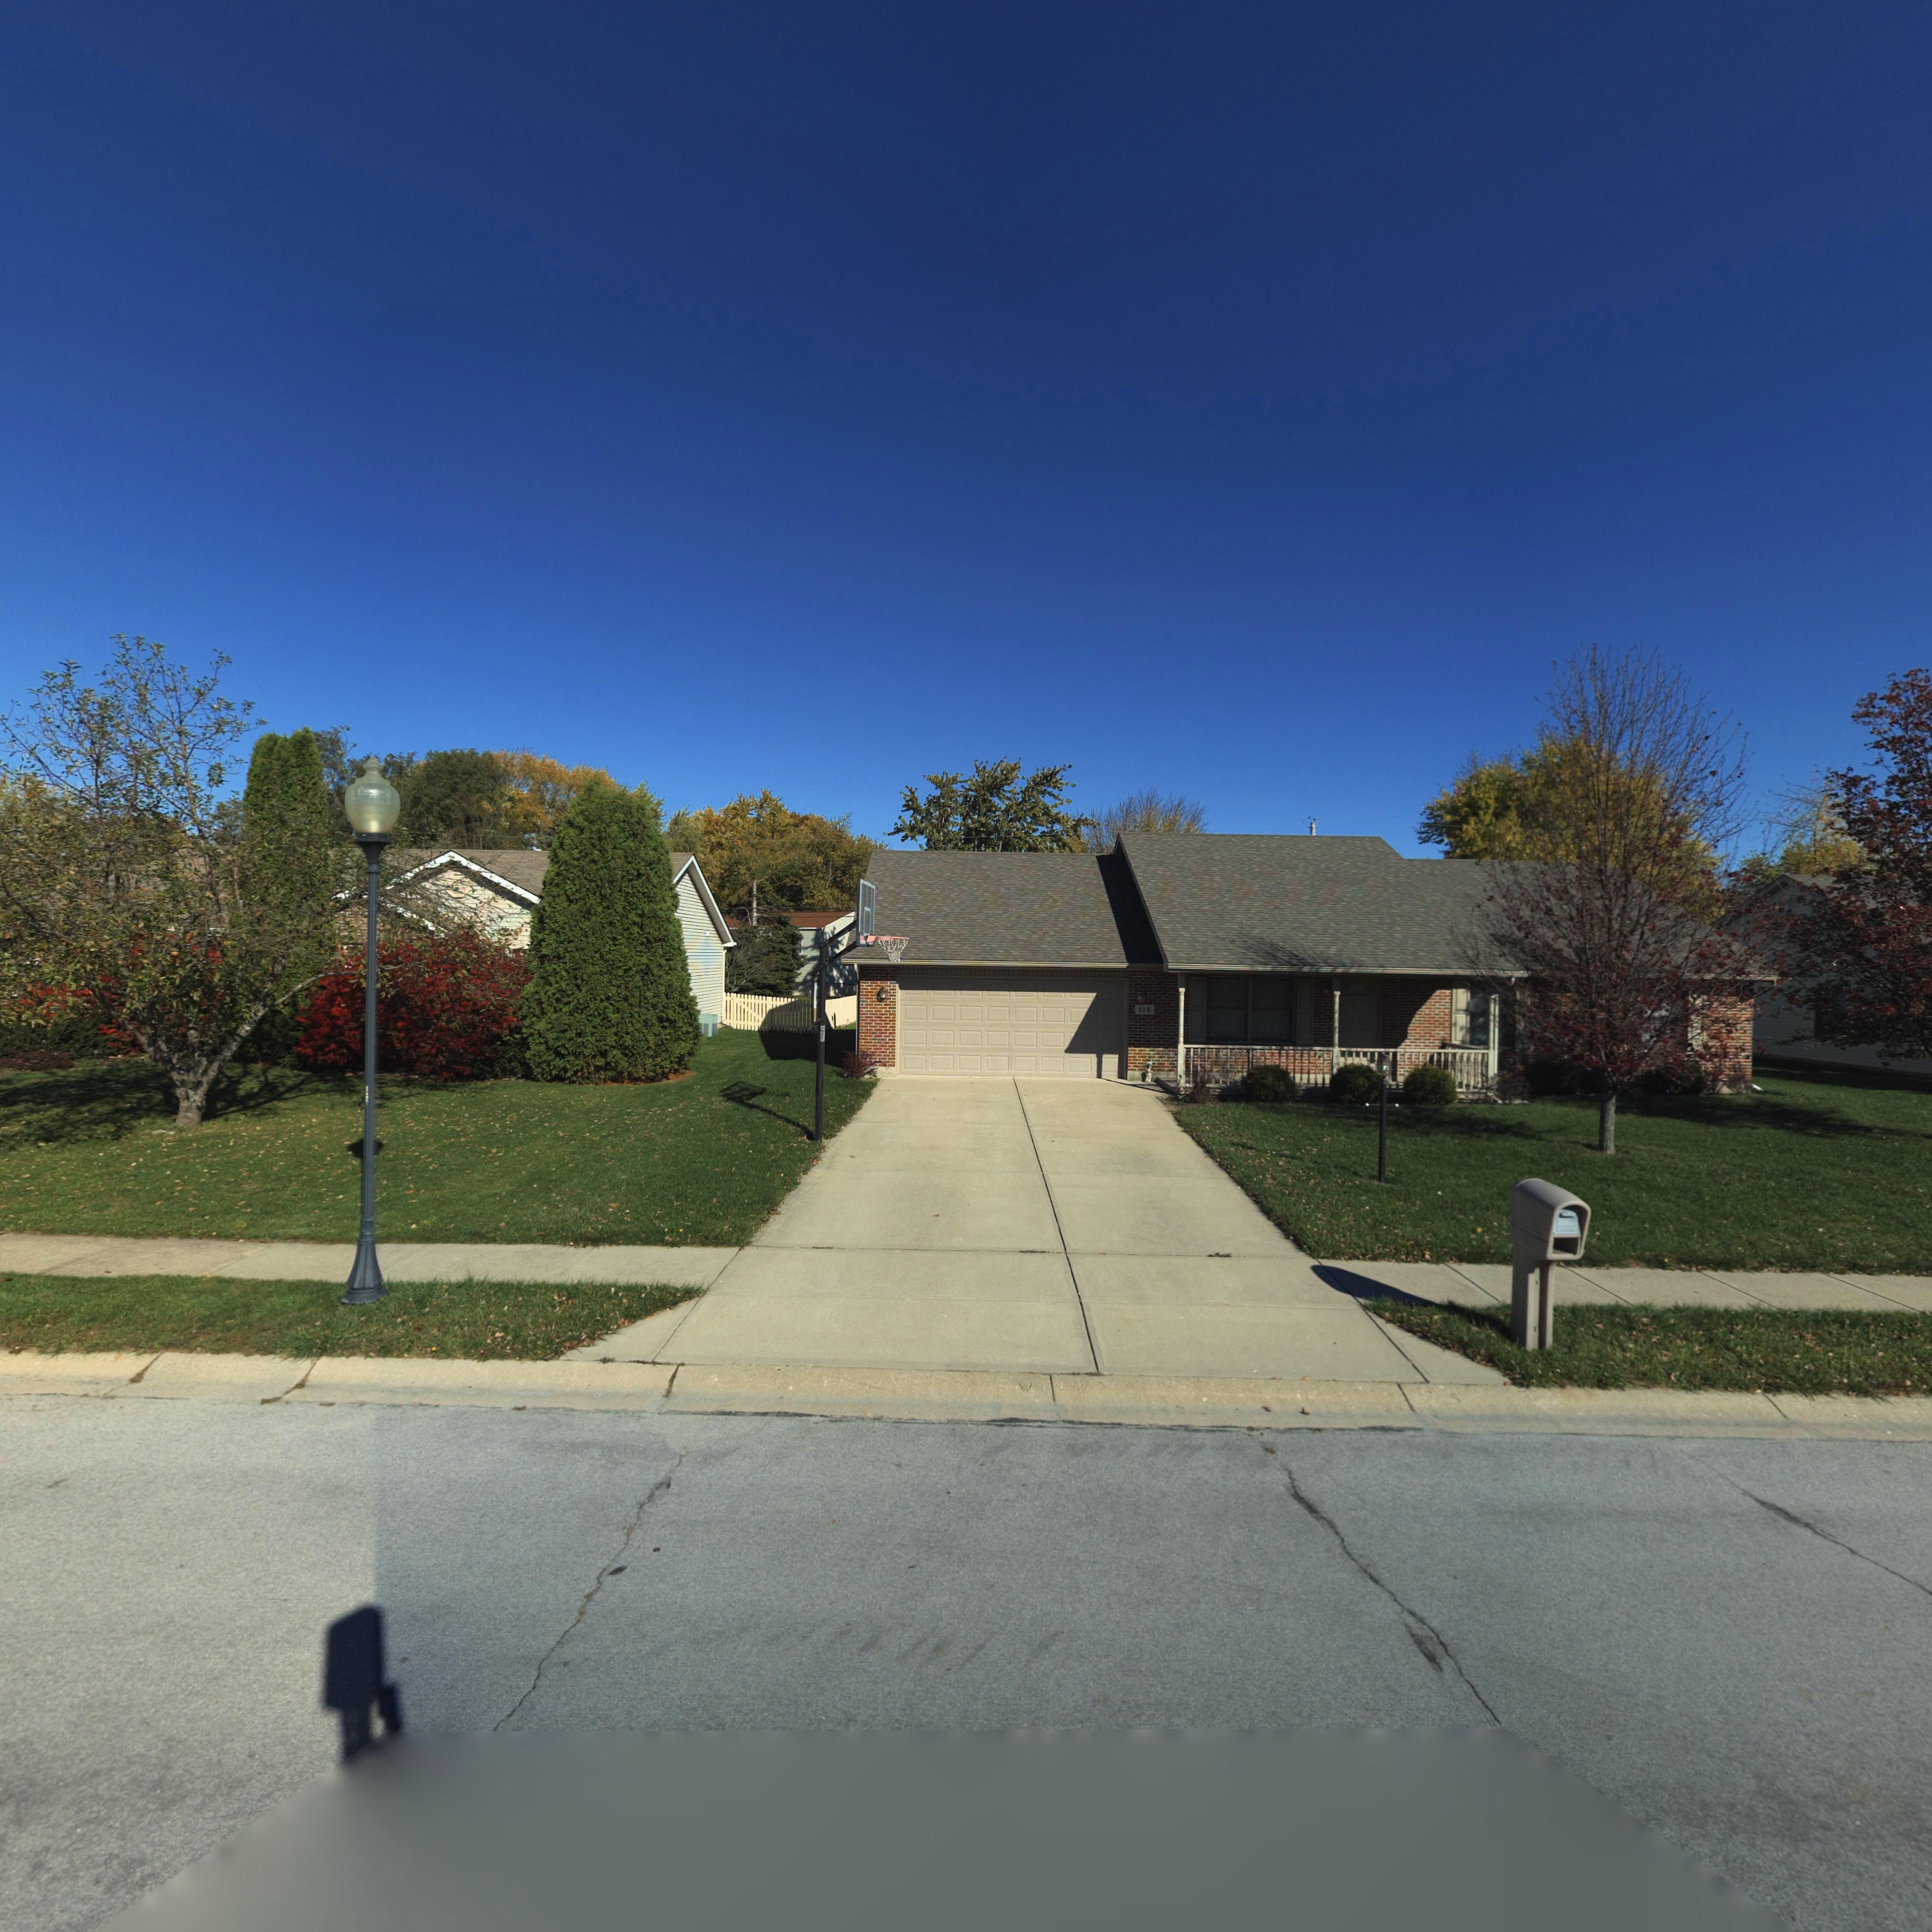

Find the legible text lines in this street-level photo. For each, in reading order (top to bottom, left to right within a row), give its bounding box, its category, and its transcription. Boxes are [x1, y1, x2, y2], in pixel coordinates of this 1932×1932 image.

[1138, 1006, 1151, 1013] StreetNumber: 115